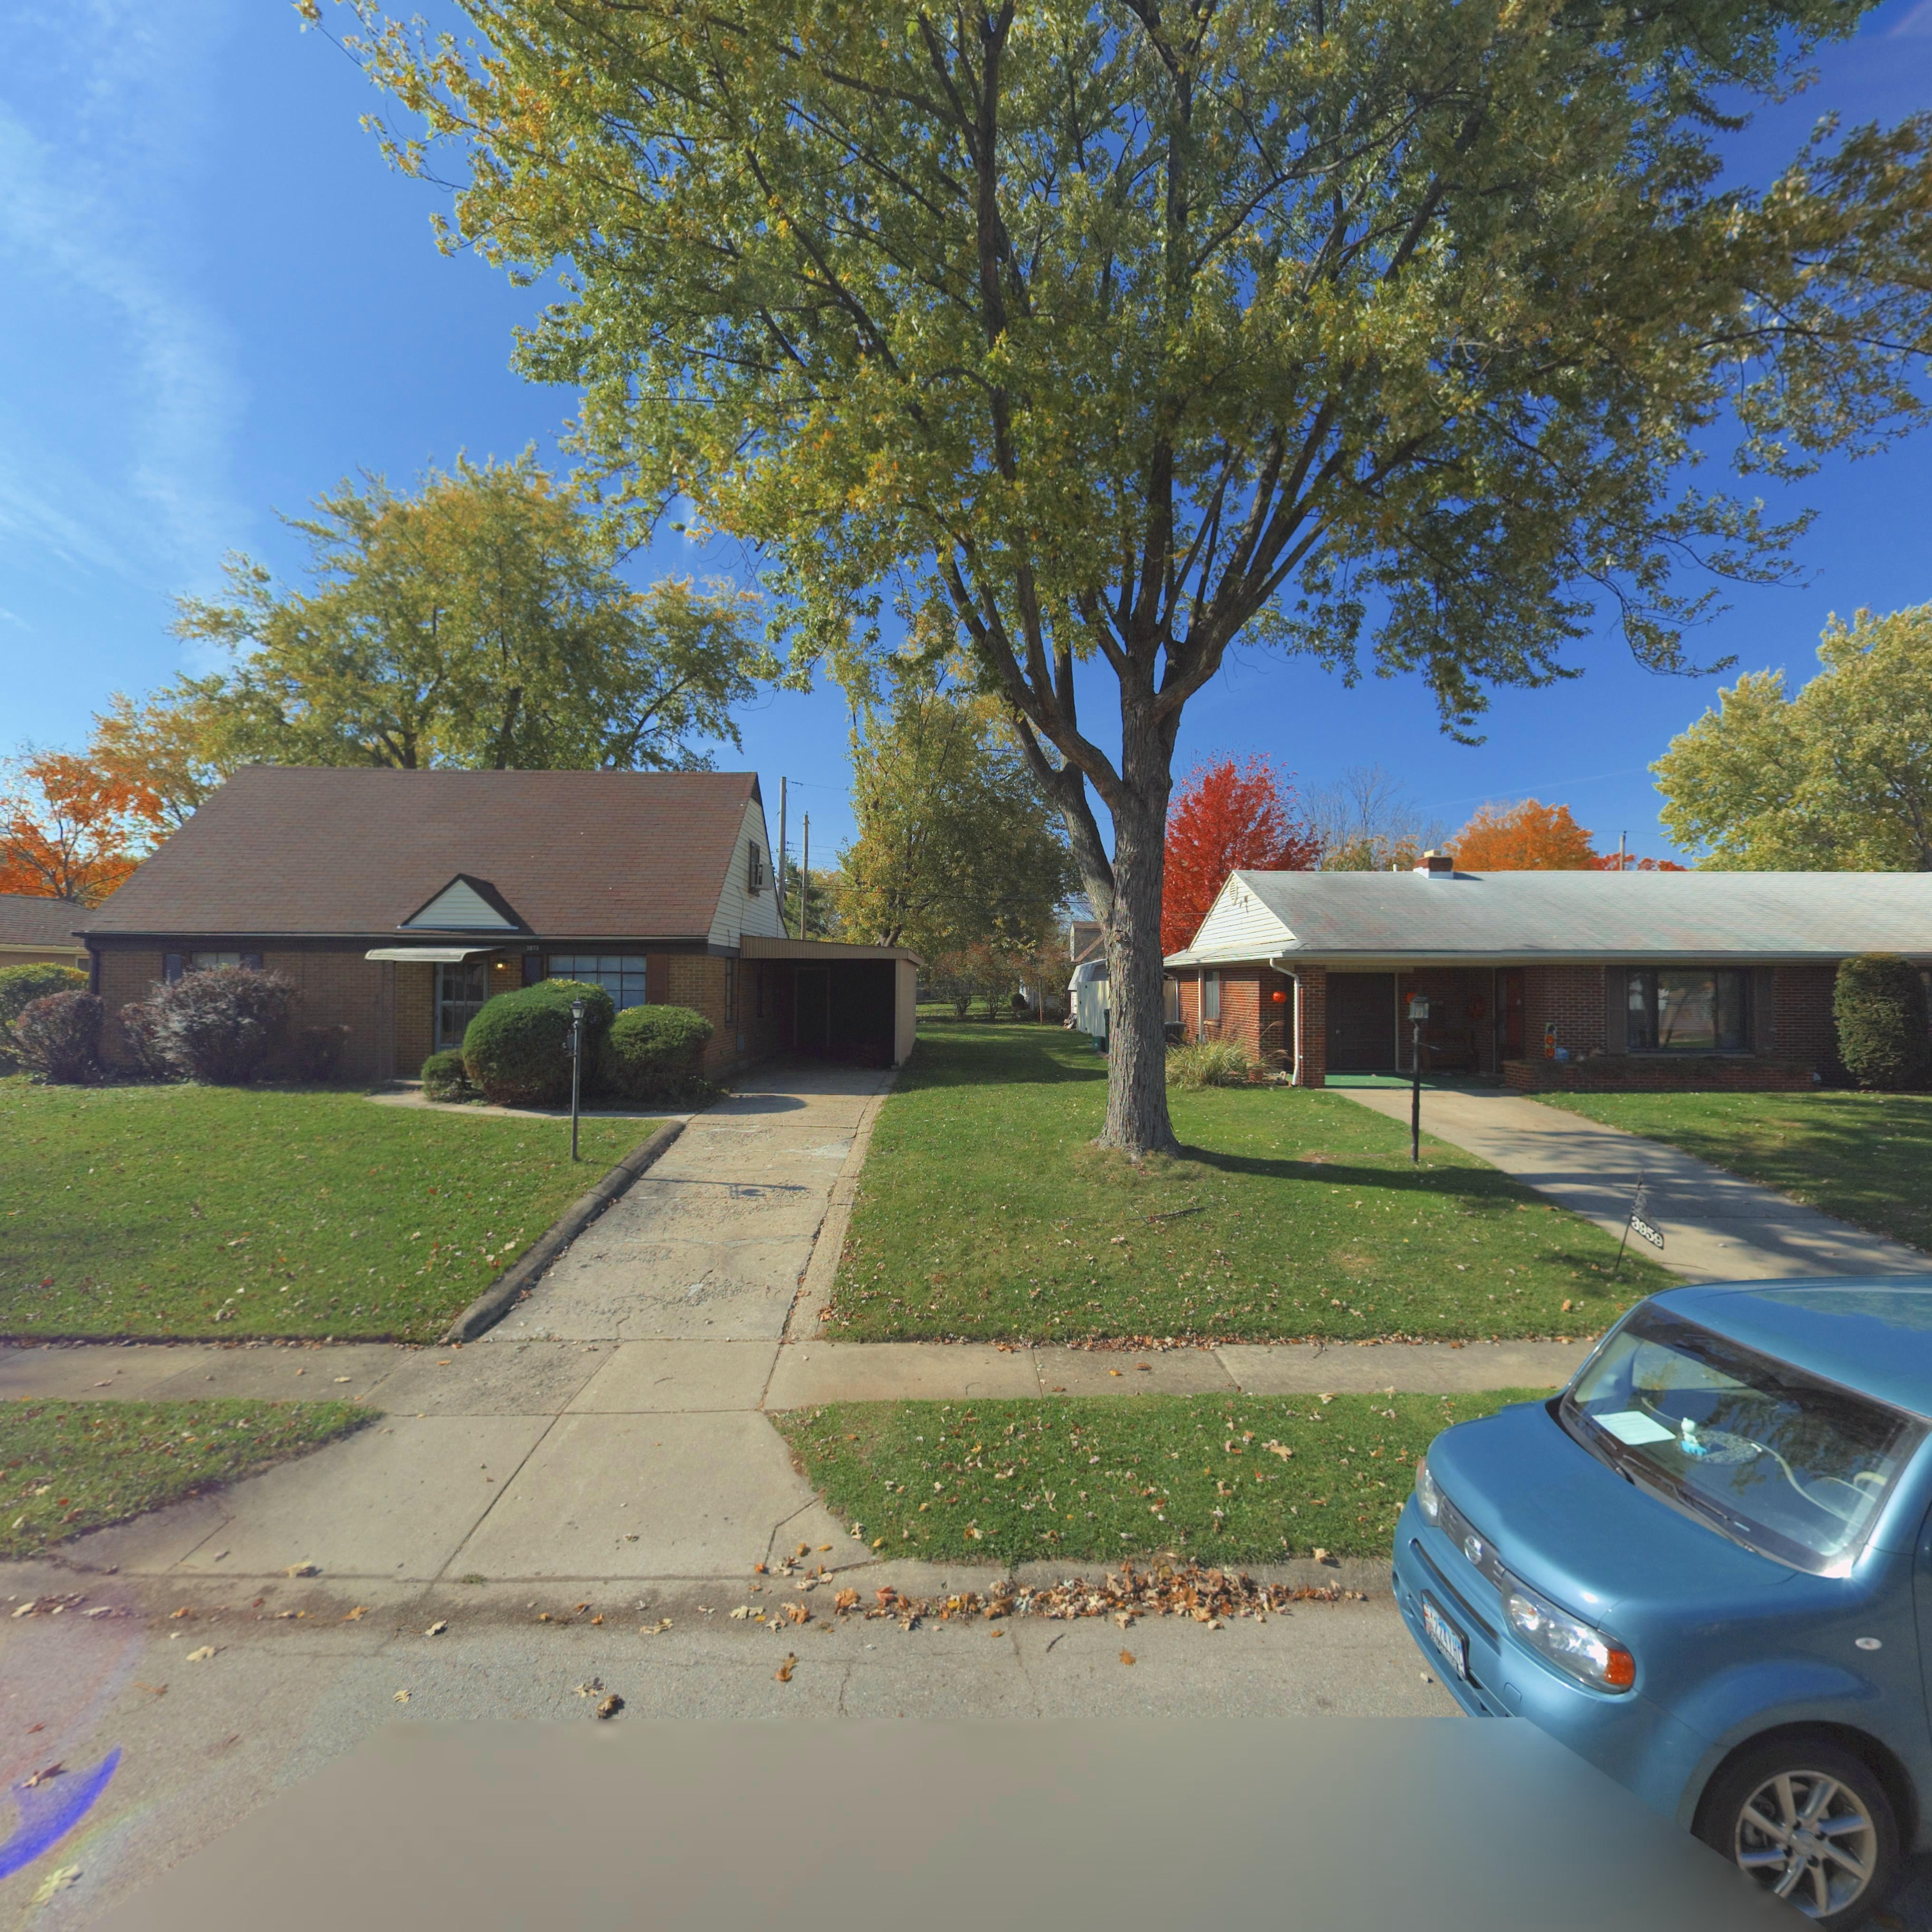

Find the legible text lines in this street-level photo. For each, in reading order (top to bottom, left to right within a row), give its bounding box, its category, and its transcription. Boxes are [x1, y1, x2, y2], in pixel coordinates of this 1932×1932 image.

[1432, 1615, 1464, 1669] None: 224YHC